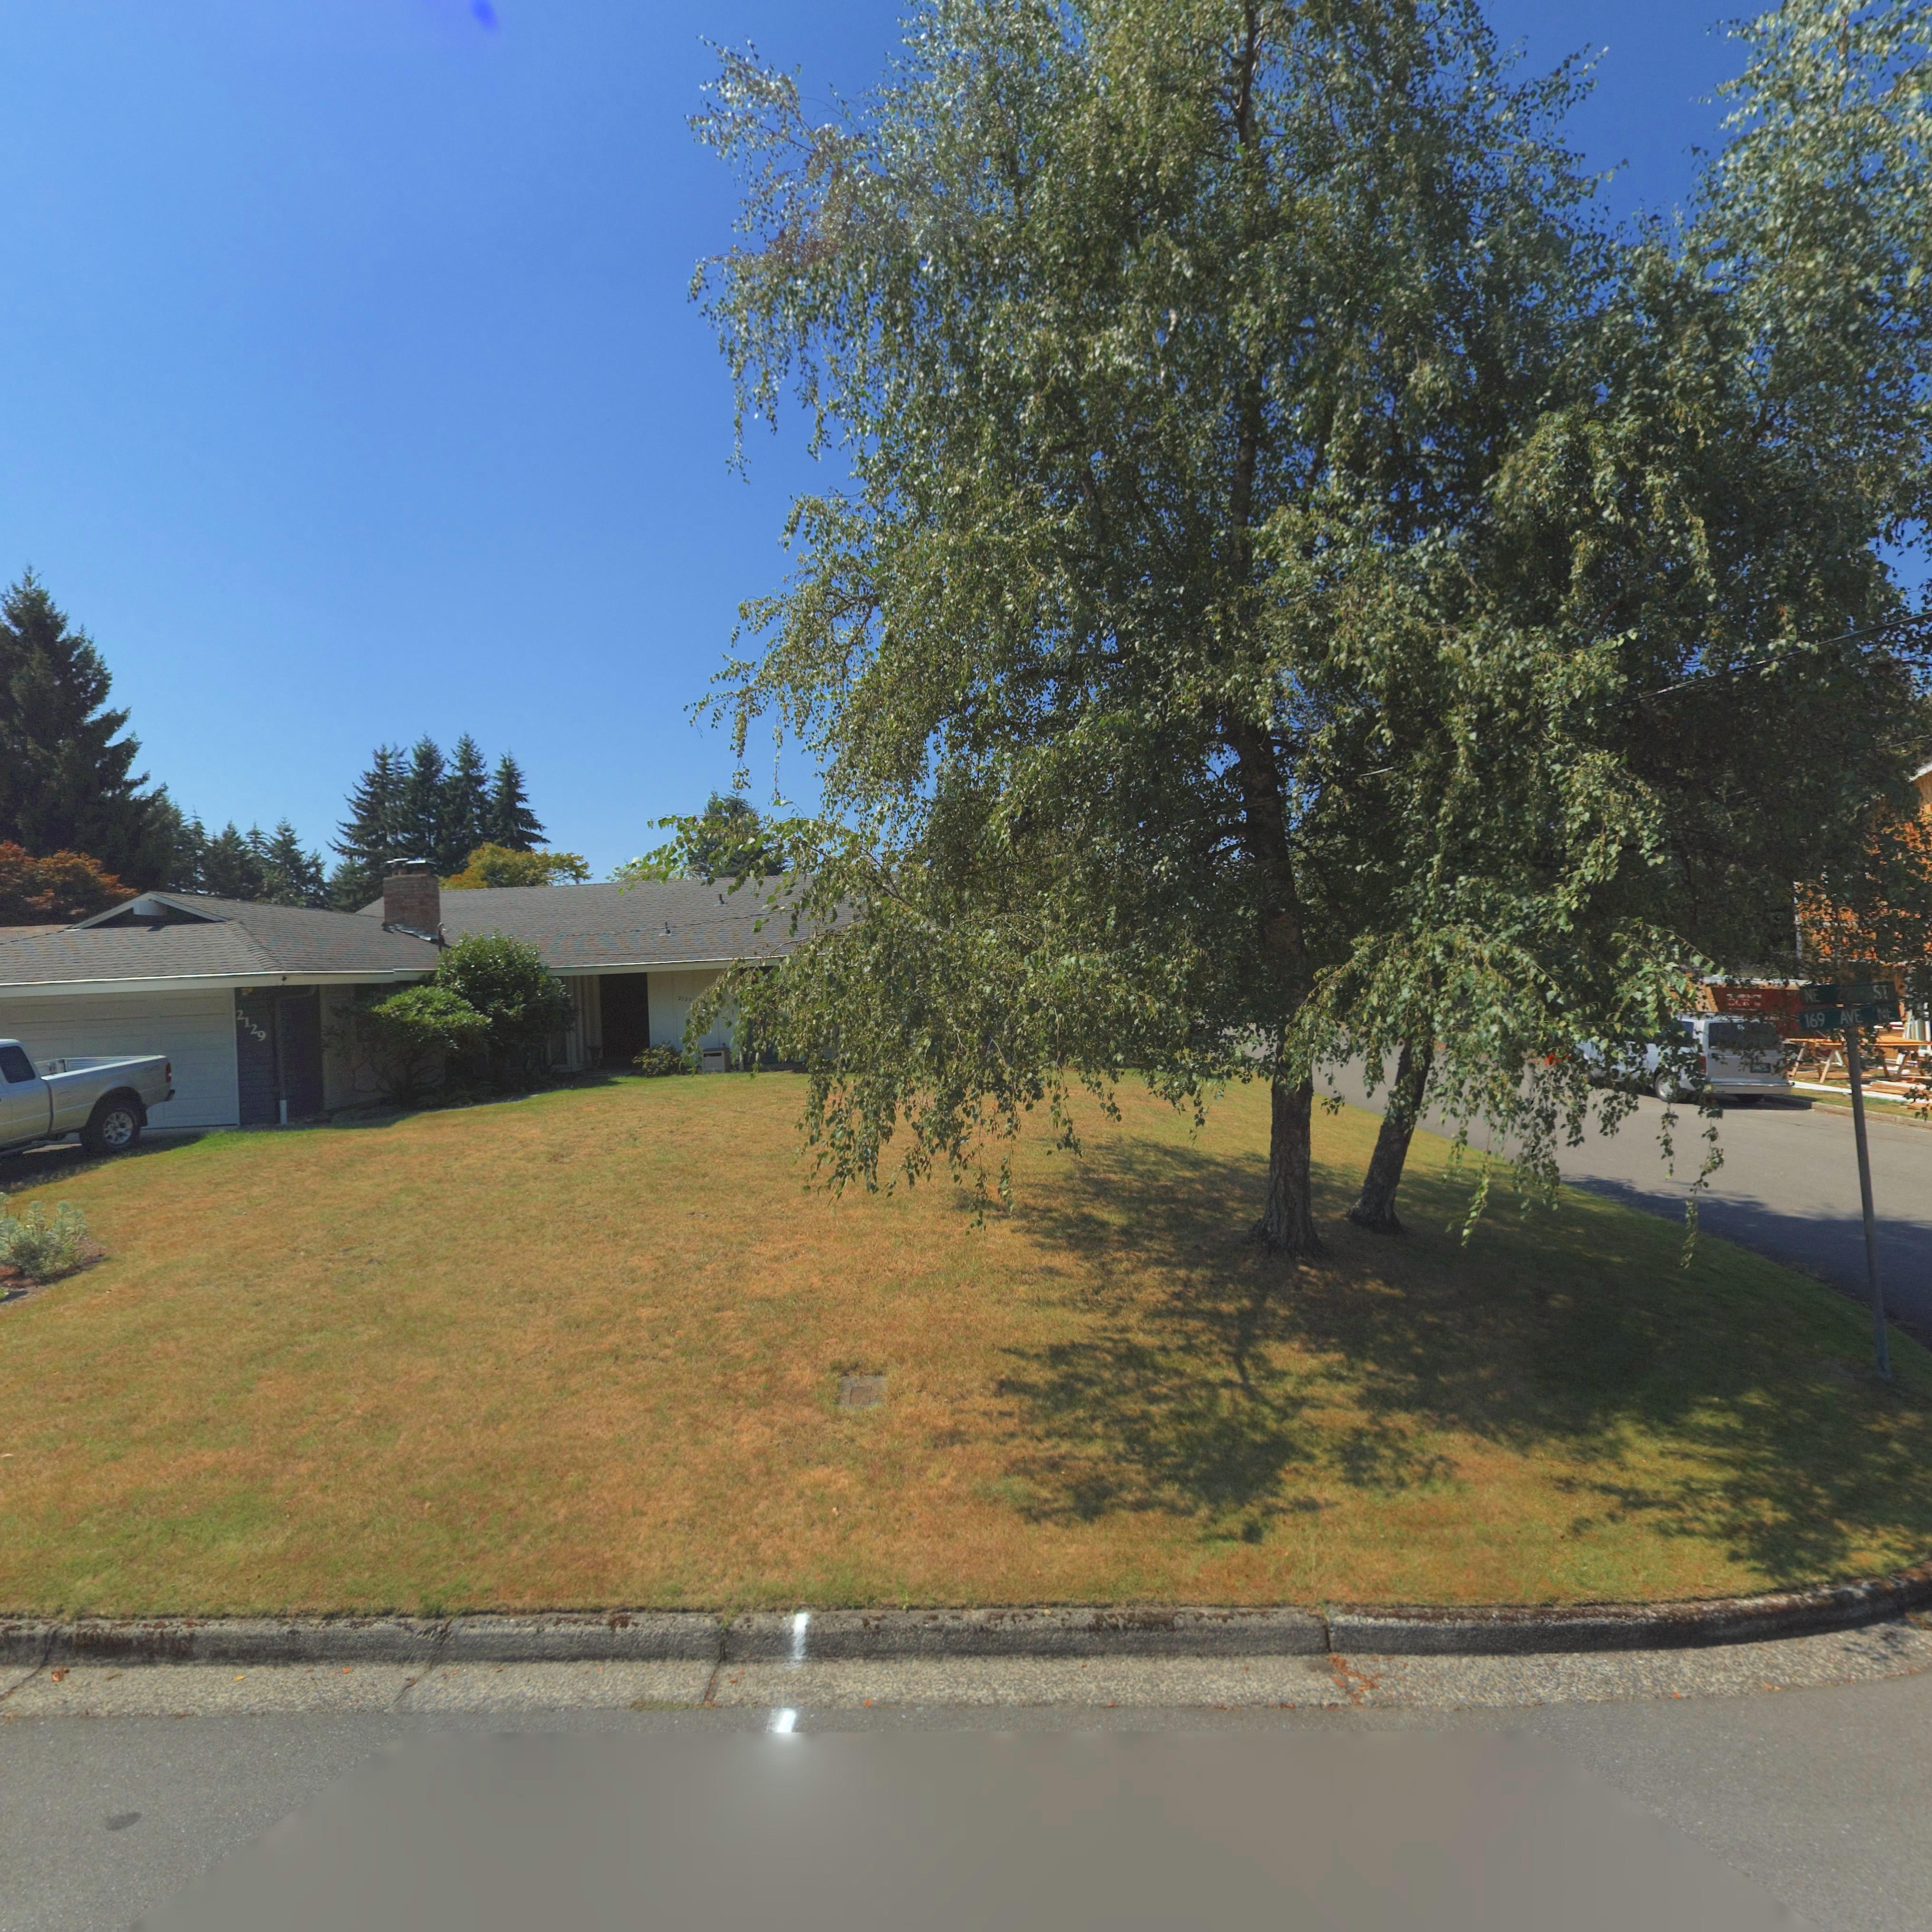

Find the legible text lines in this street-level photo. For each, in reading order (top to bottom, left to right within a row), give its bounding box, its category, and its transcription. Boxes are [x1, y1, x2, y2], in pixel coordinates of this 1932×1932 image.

[677, 995, 693, 1002] StreetNumber: 212*
[236, 1008, 267, 1042] StreetNumber: 2129